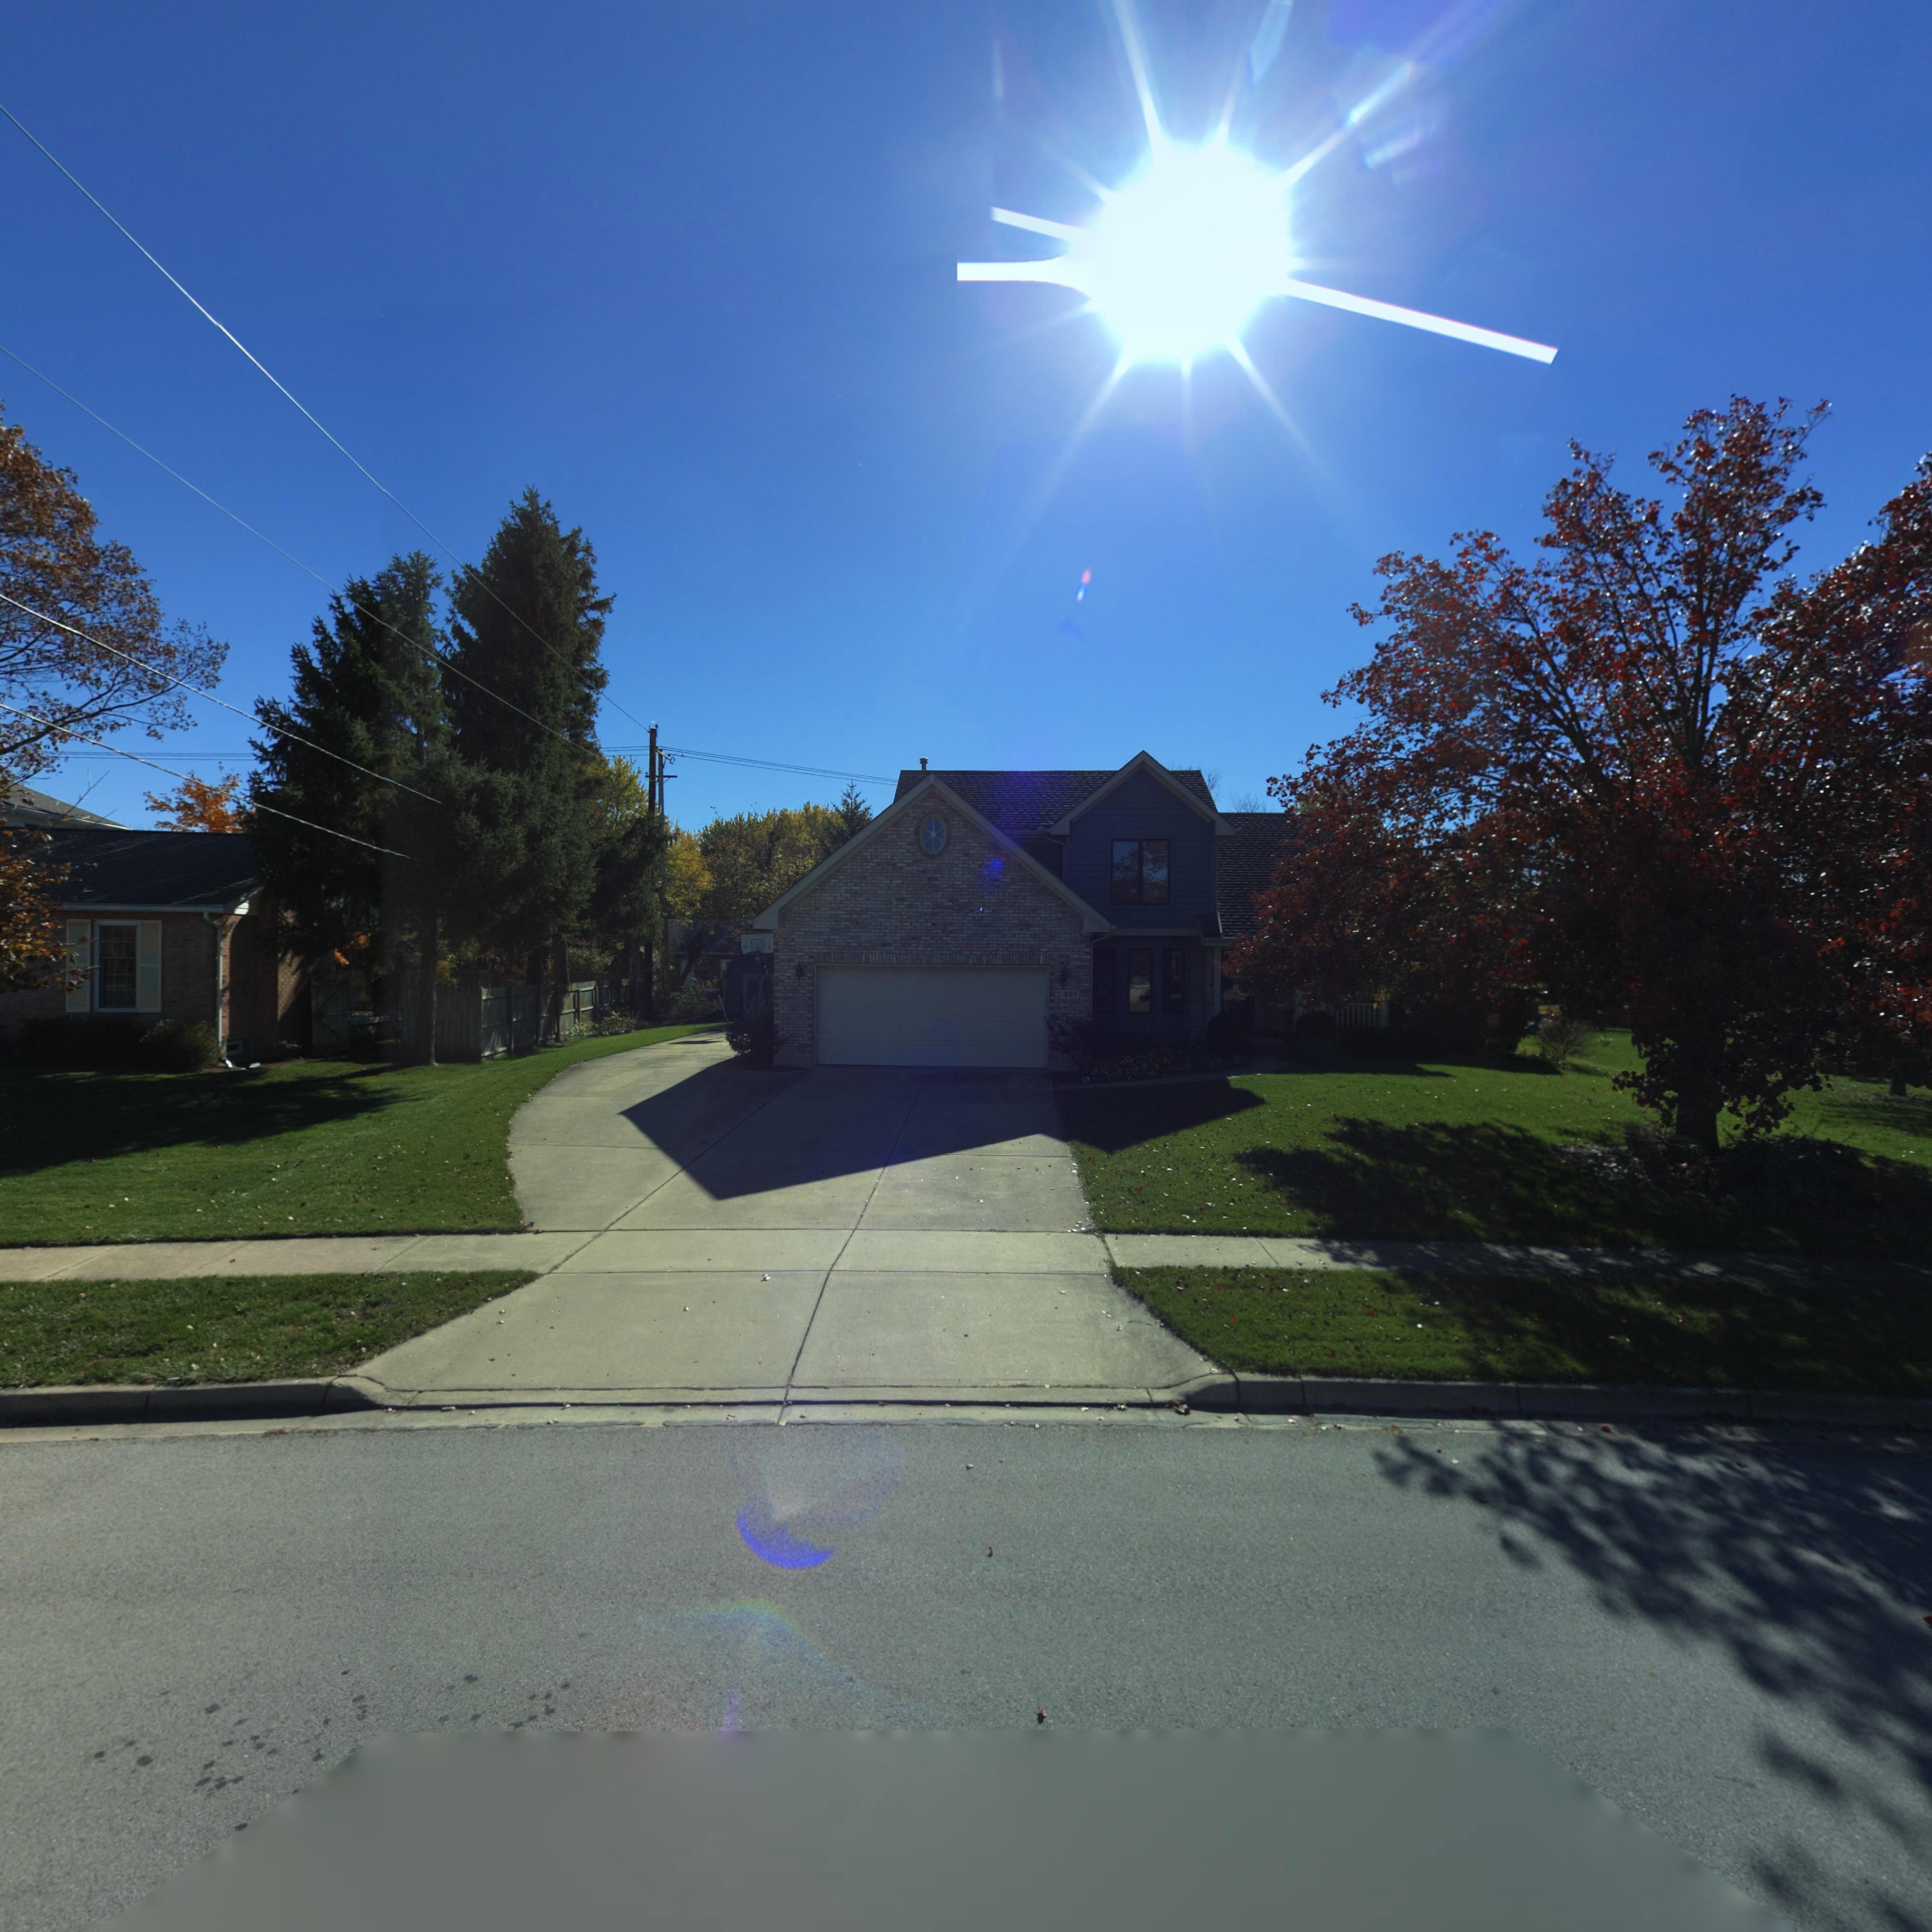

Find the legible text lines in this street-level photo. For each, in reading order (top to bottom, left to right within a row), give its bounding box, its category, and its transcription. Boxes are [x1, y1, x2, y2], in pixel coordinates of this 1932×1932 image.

[1063, 991, 1077, 998] StreetNumber: 351